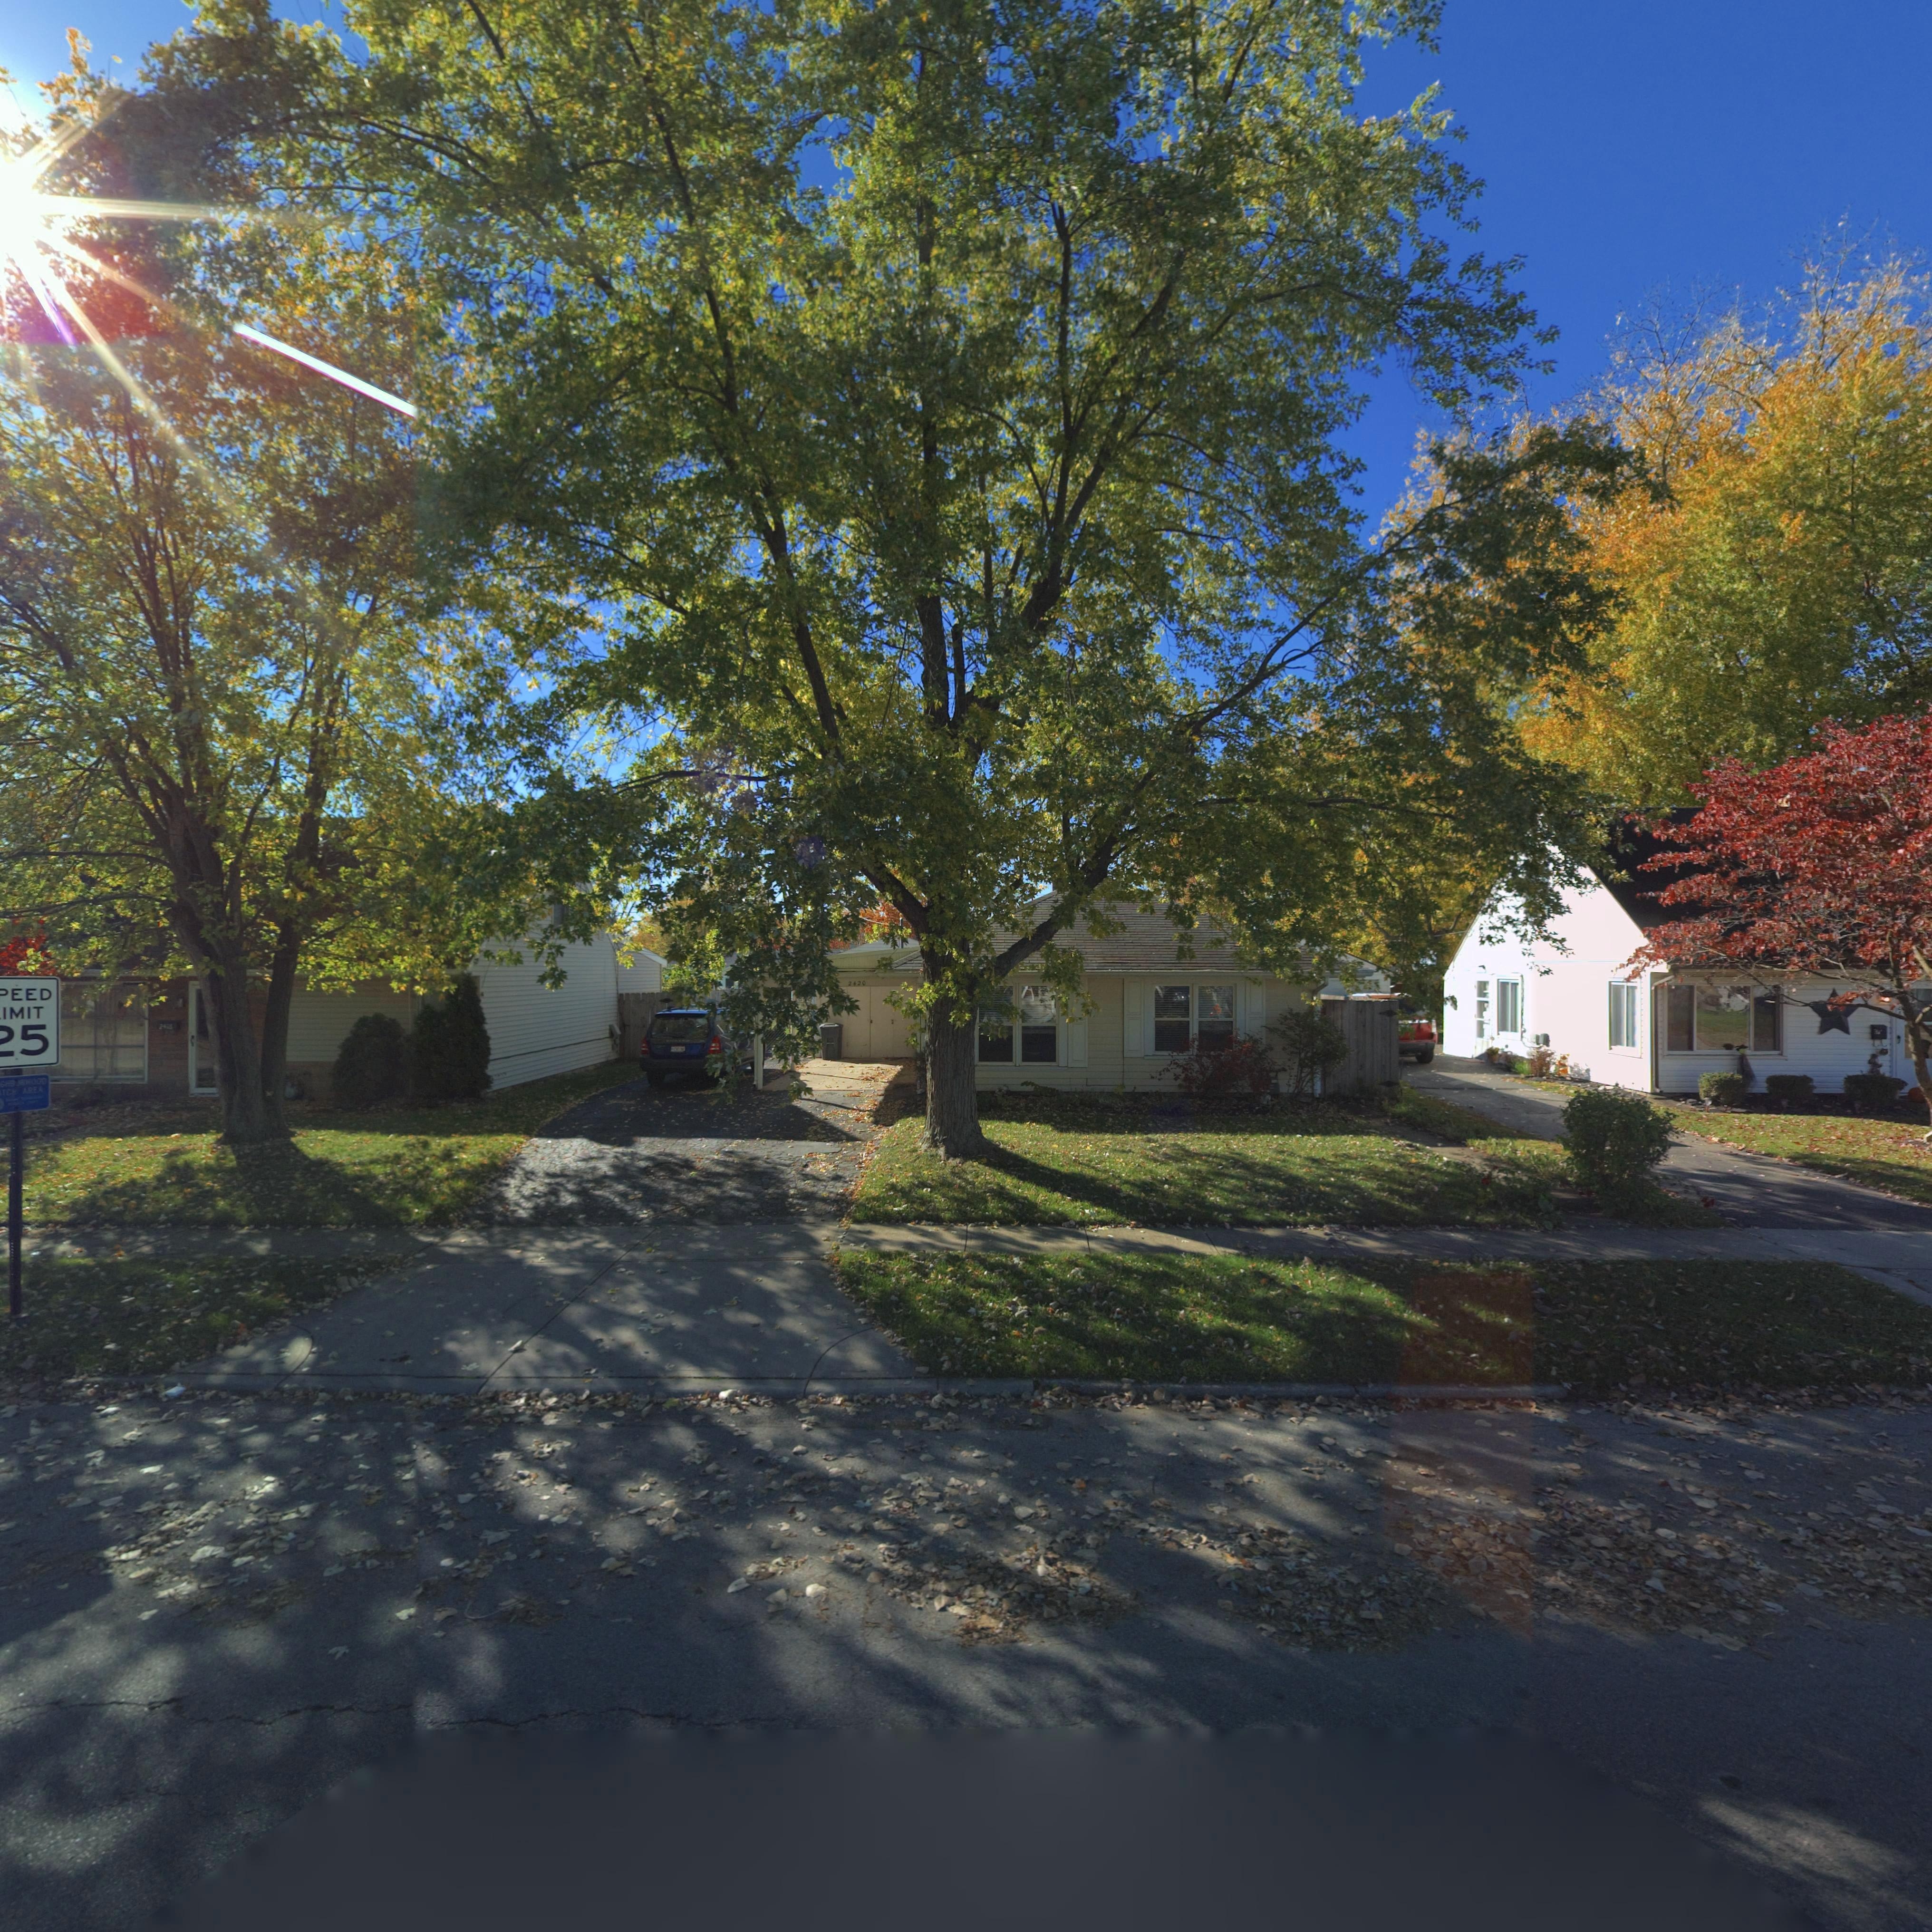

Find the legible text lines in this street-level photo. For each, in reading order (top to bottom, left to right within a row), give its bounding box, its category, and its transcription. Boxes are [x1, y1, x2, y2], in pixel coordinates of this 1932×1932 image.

[848, 980, 866, 986] StreetNumber: 2420
[158, 1023, 173, 1030] StreetNumber: 24**